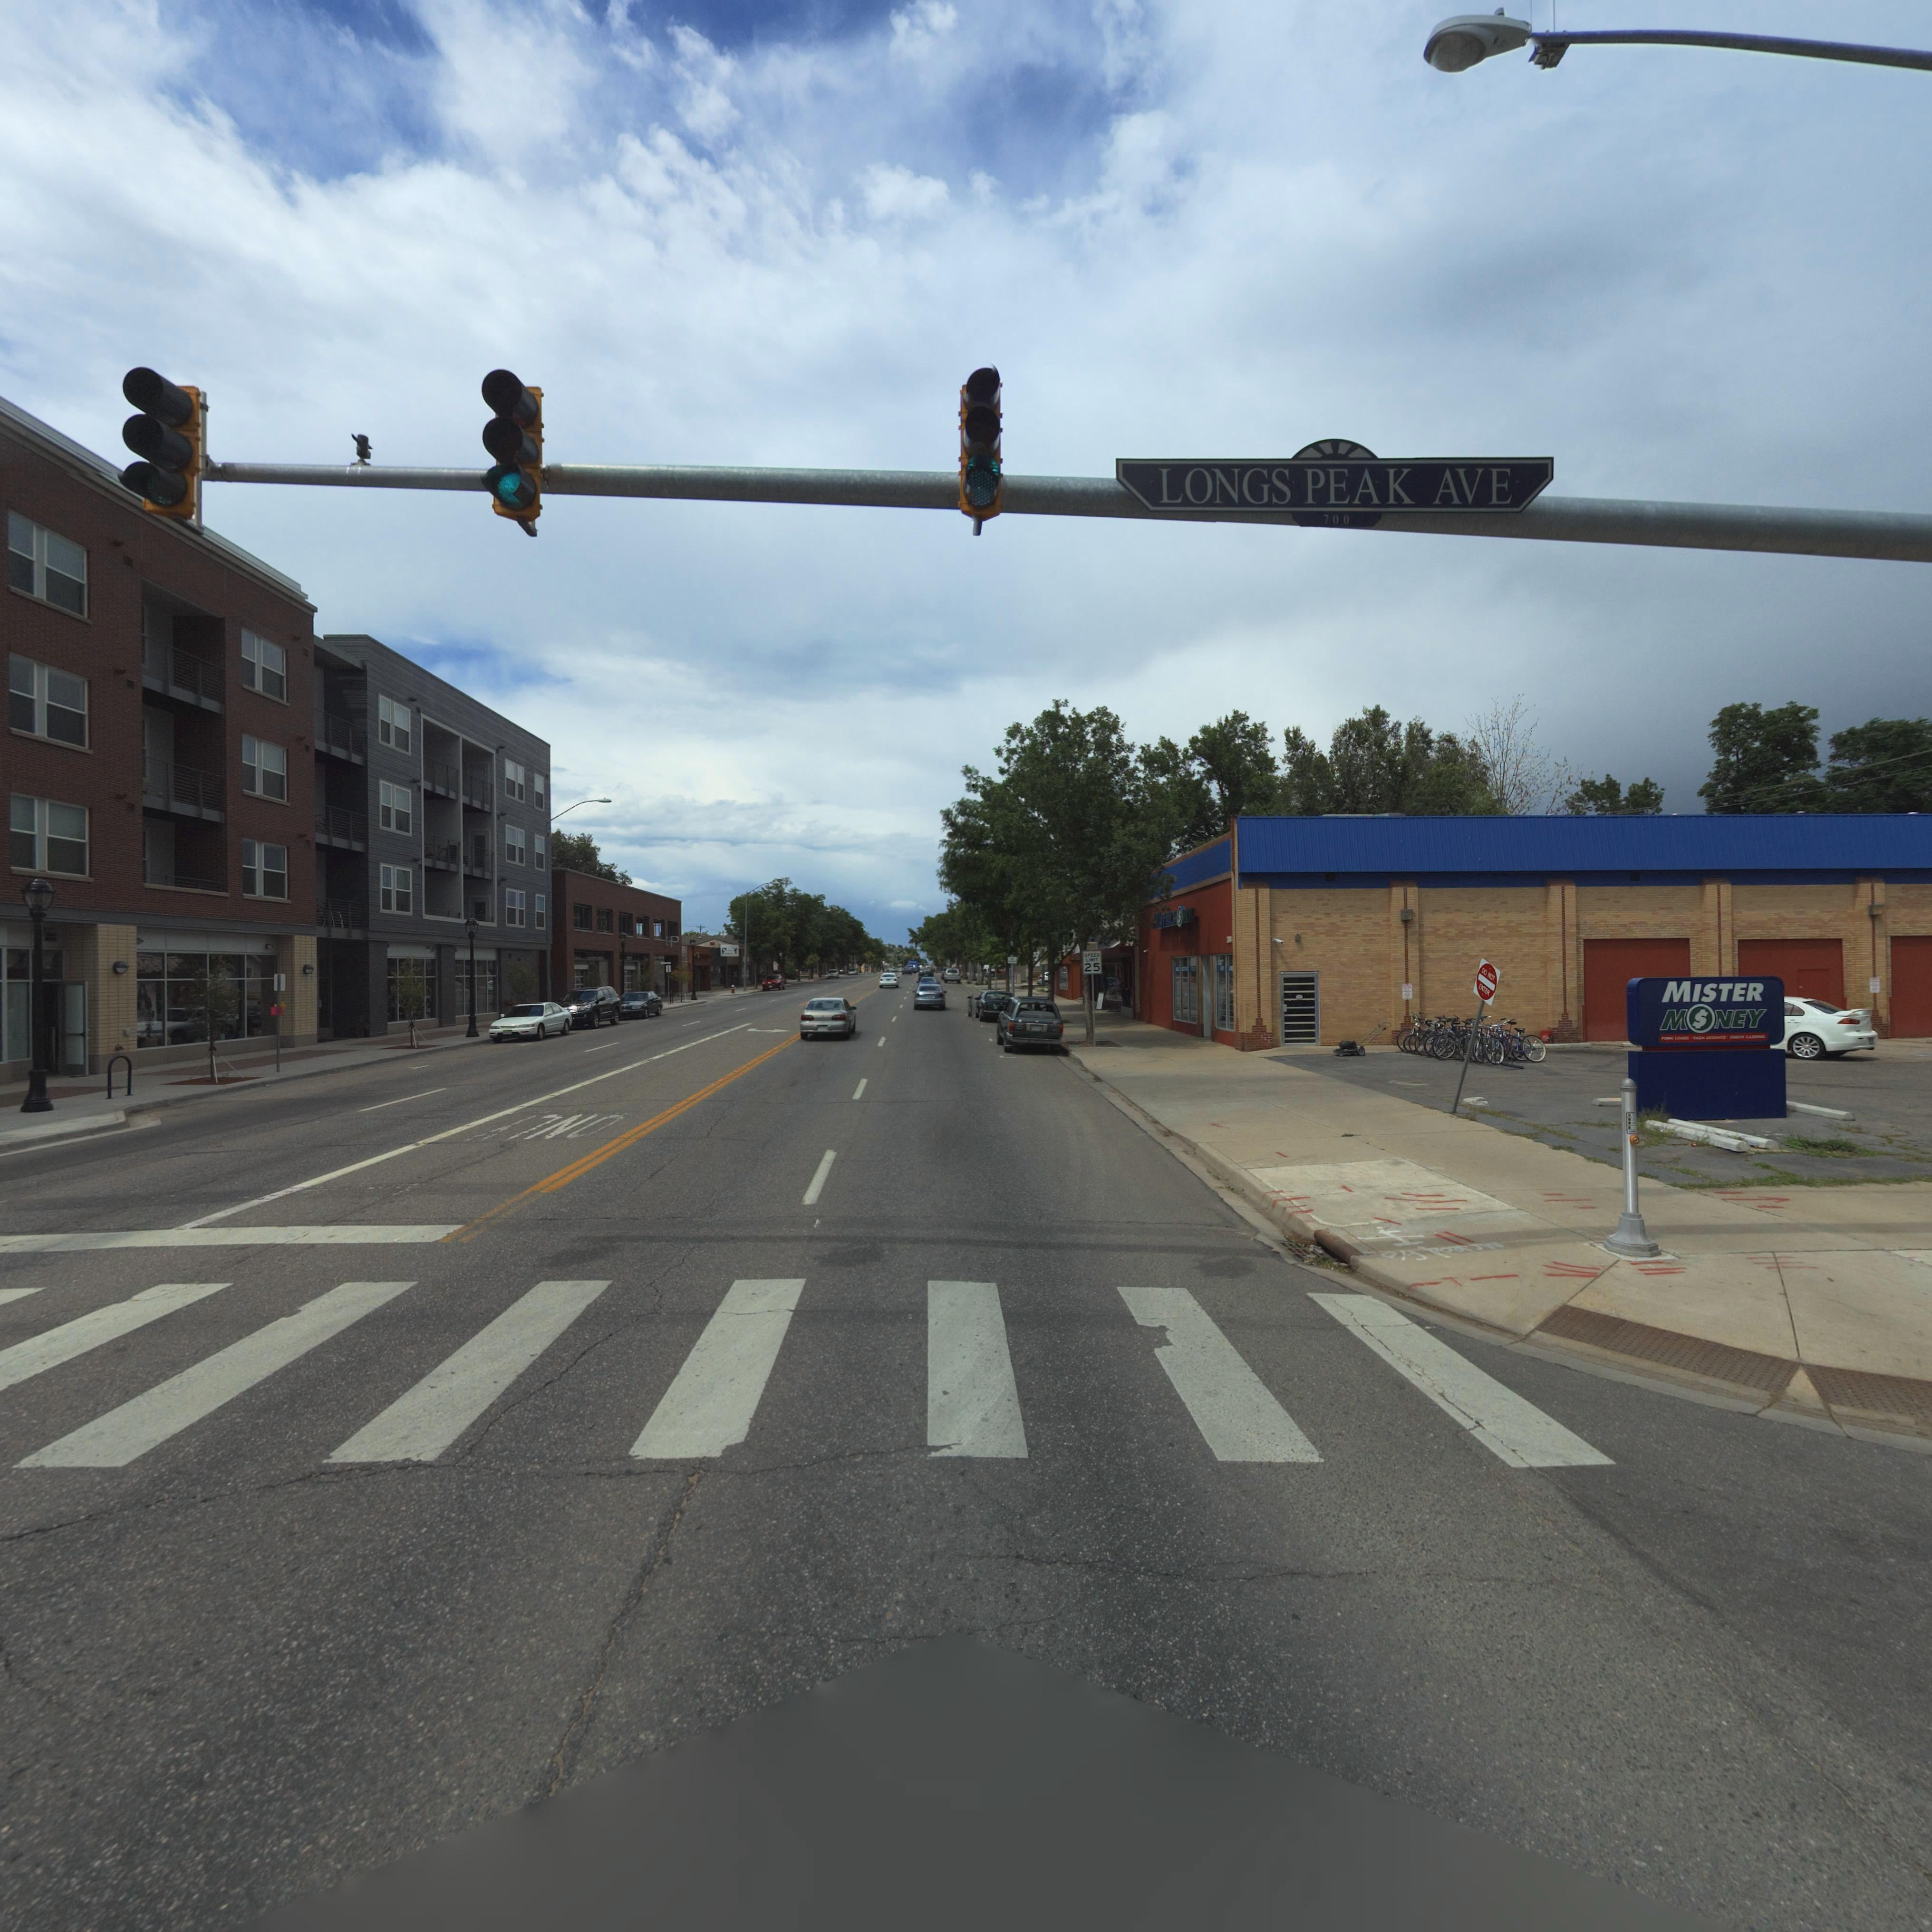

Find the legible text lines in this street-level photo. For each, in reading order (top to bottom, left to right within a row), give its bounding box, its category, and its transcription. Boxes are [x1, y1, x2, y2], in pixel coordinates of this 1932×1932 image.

[1157, 466, 1513, 507] StreetName: LONGS PEAK AVE
[1323, 513, 1350, 525] StreetNumberRange: 700
[1150, 907, 1197, 930] BusinessName: MISTERM*NEY
[1660, 980, 1765, 1003] BusinessName: MISTER
[1659, 1008, 1767, 1030] BusinessName: M*NEY